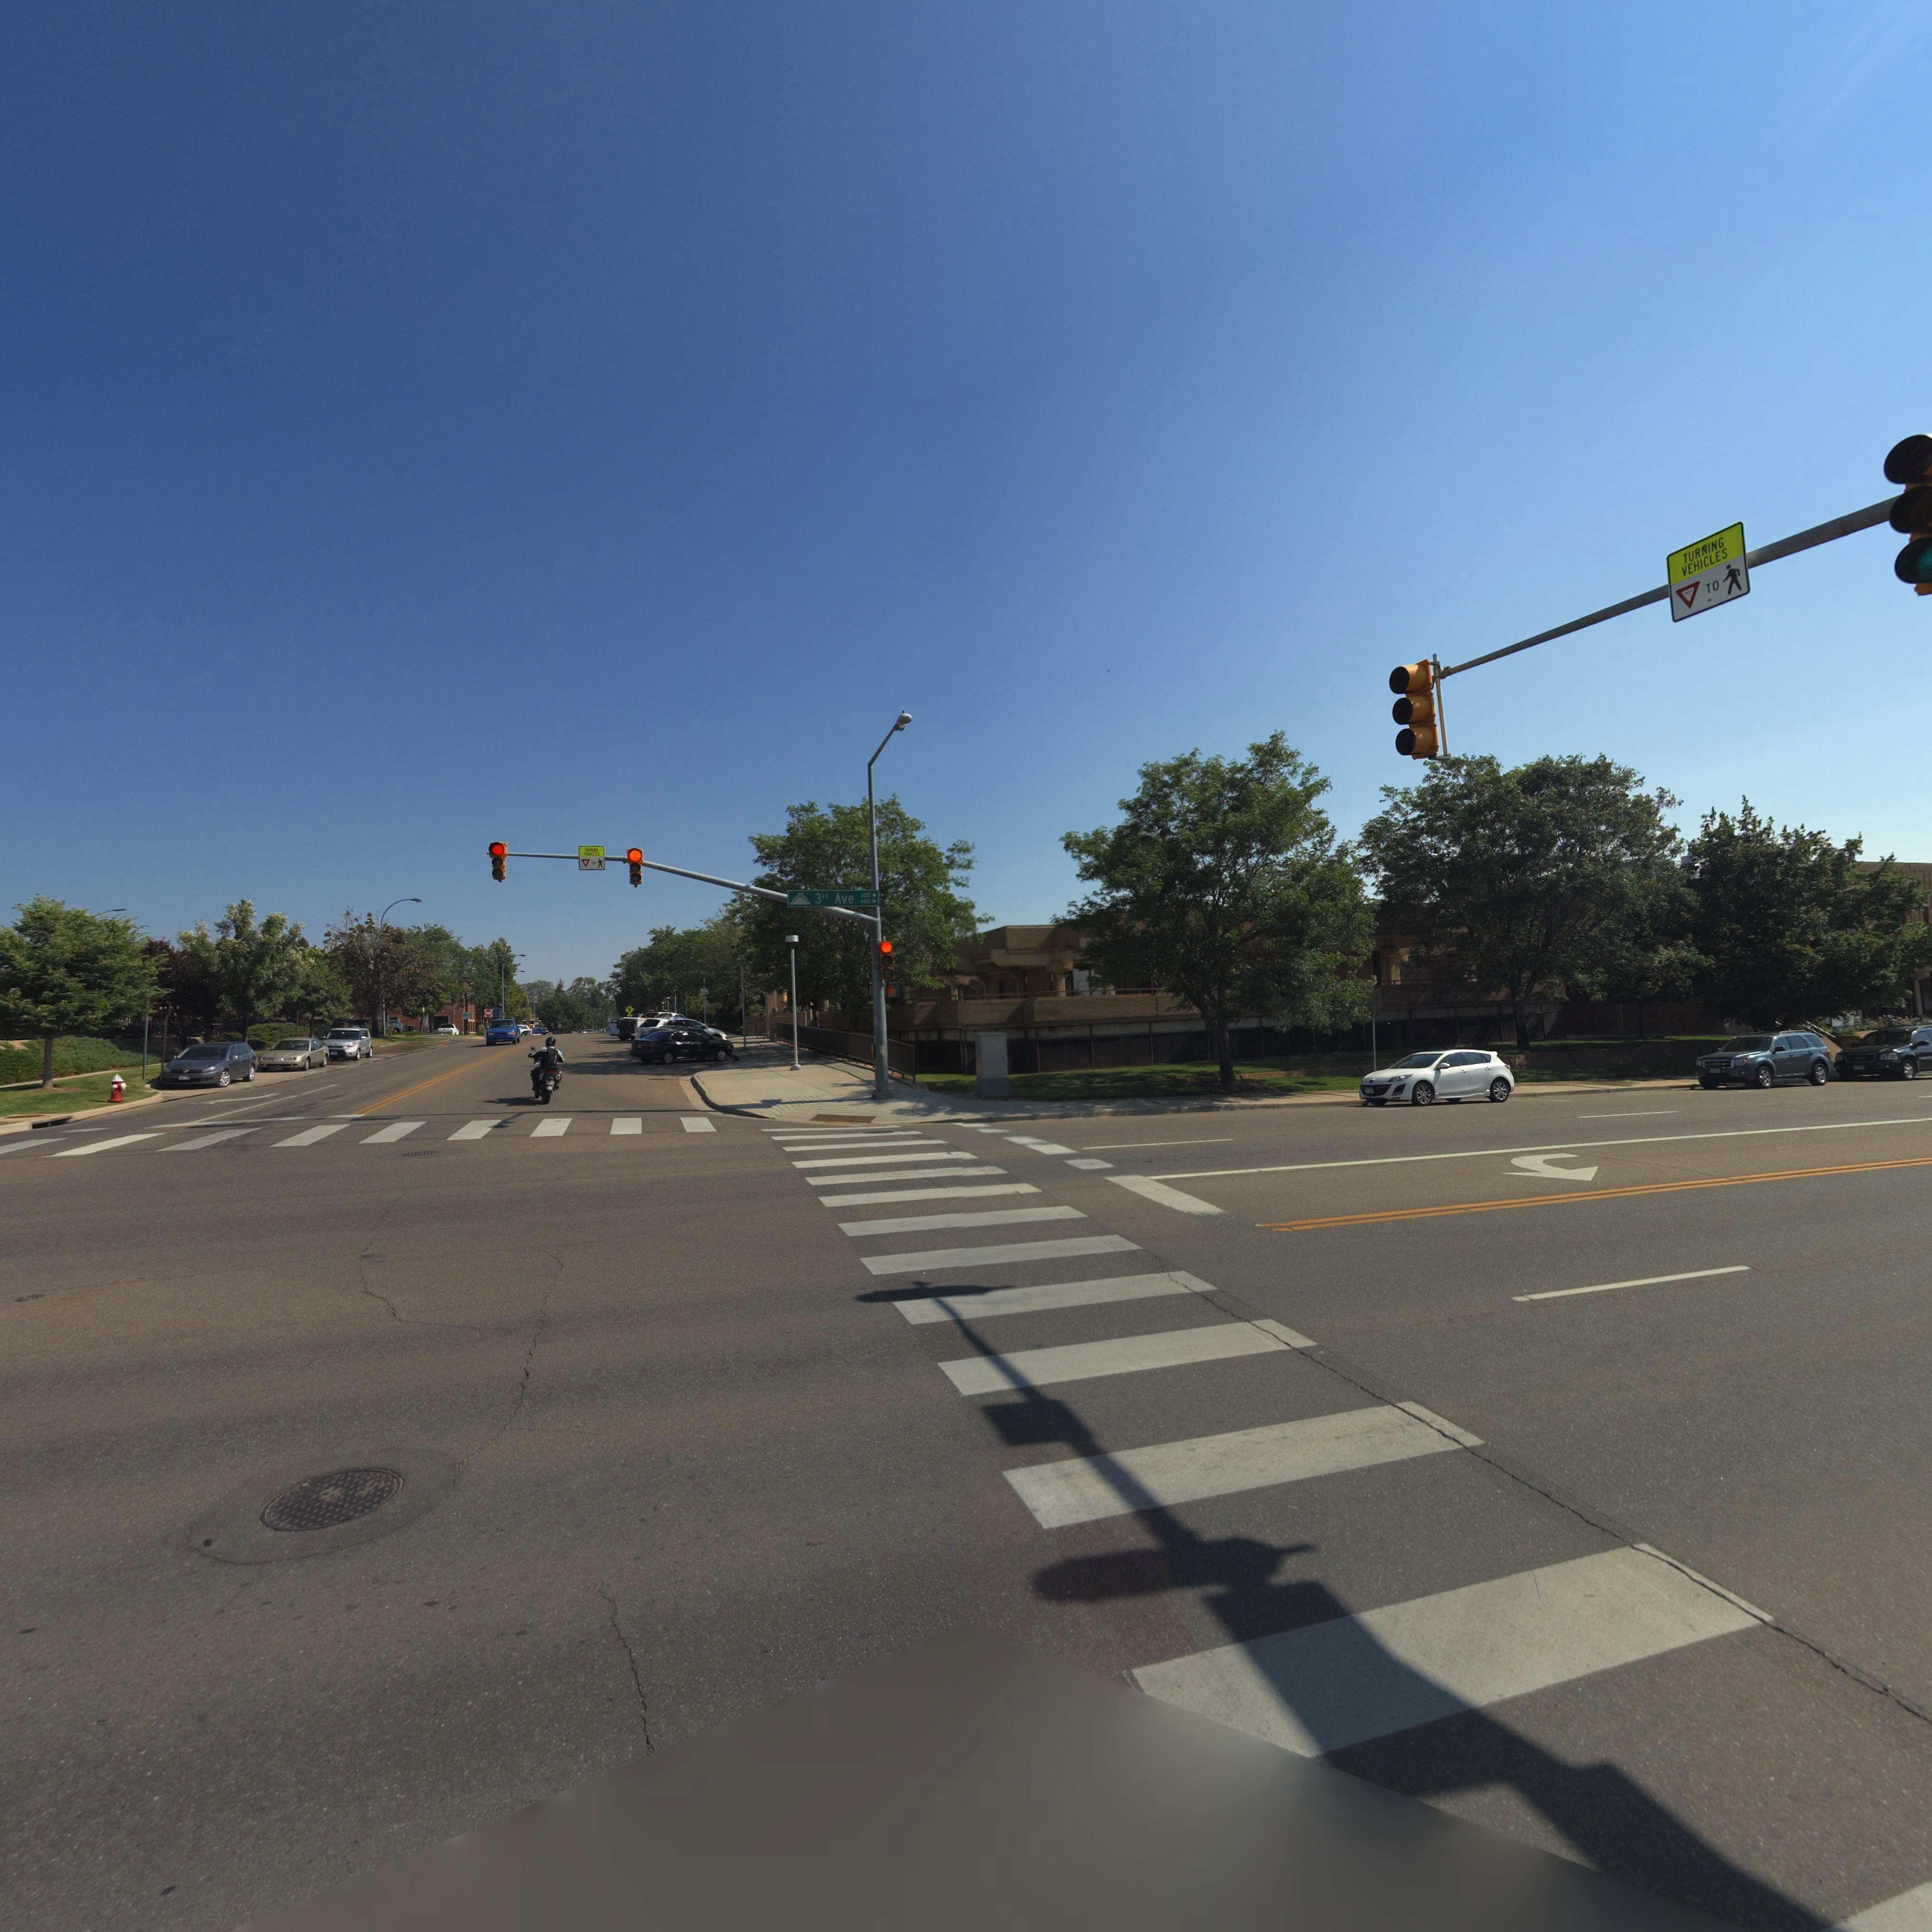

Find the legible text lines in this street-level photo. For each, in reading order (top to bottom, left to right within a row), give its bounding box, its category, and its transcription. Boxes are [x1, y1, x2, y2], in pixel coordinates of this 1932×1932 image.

[860, 892, 870, 898] StreetNumberRange: 300
[814, 892, 854, 905] StreetName: 3rd Ave
[860, 898, 877, 904] StreetNumberRange: 400->